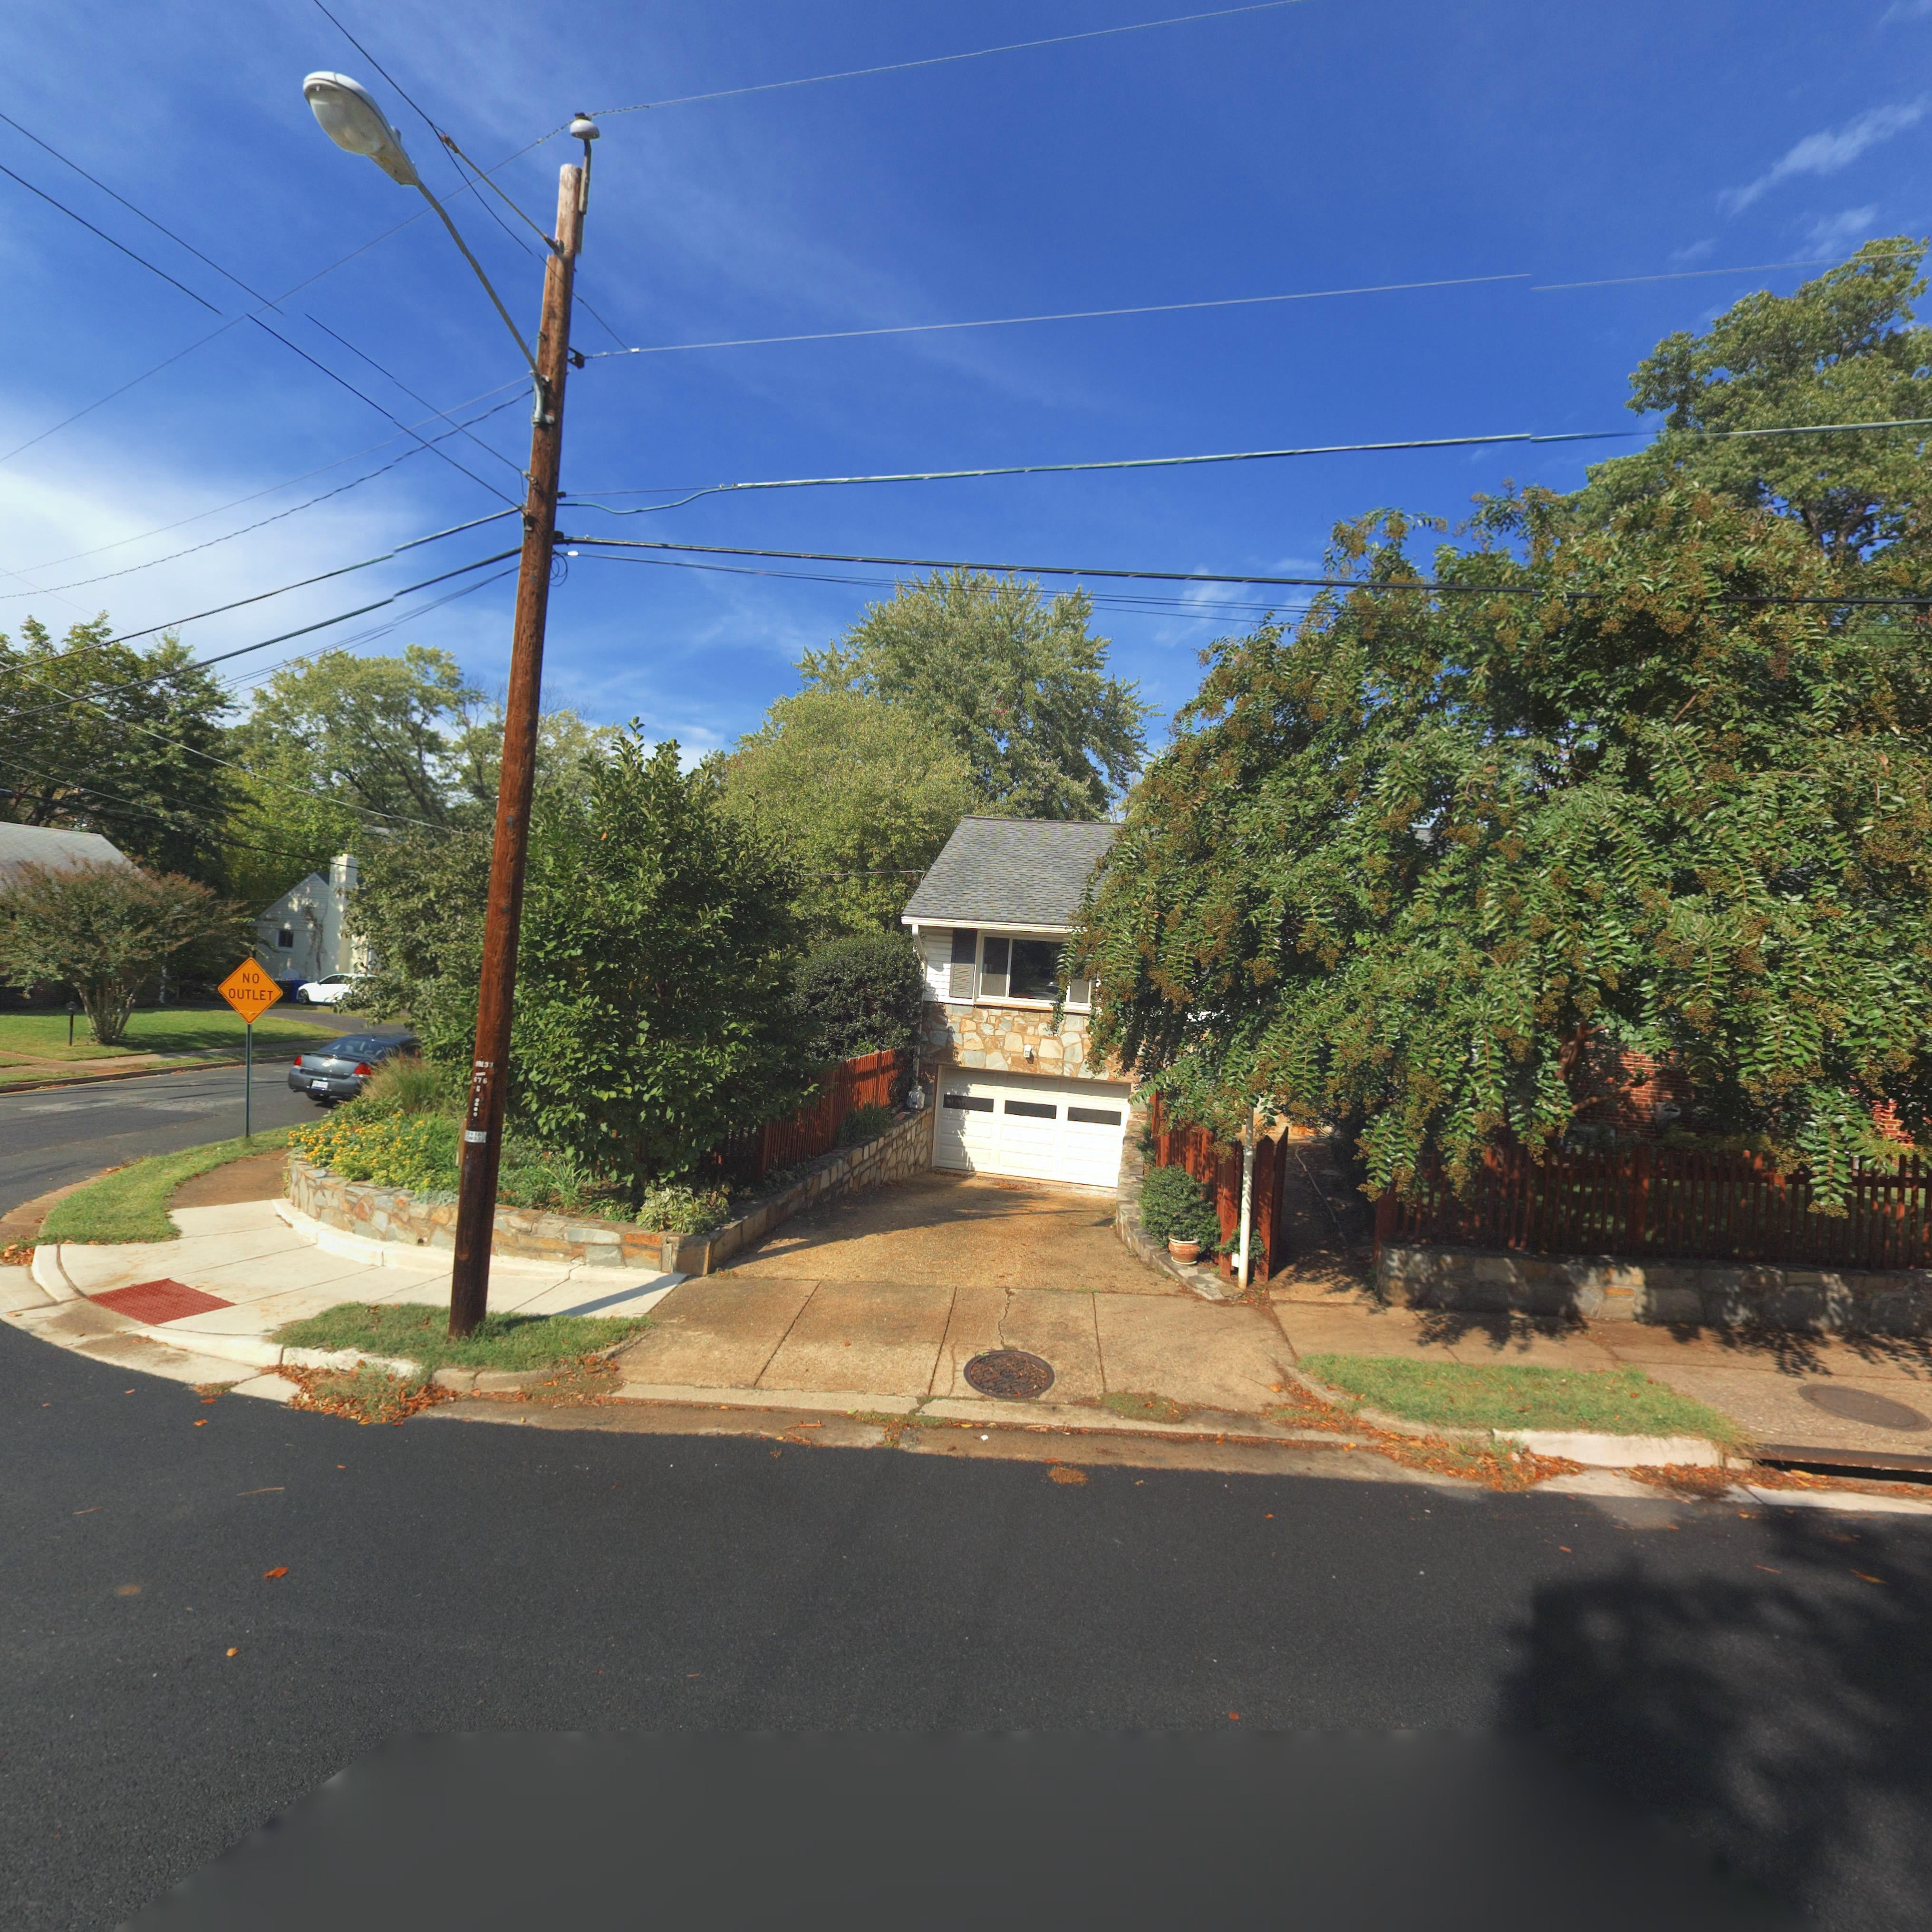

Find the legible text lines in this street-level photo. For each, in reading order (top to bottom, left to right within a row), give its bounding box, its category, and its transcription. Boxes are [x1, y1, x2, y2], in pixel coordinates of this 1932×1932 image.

[241, 971, 261, 985] None: NO
[227, 987, 274, 1002] None: OUTLET
[483, 1060, 495, 1070] None: 3*
[473, 1075, 489, 1085] None: *76
[1384, 1185, 1392, 1196] StreetNumber: 7